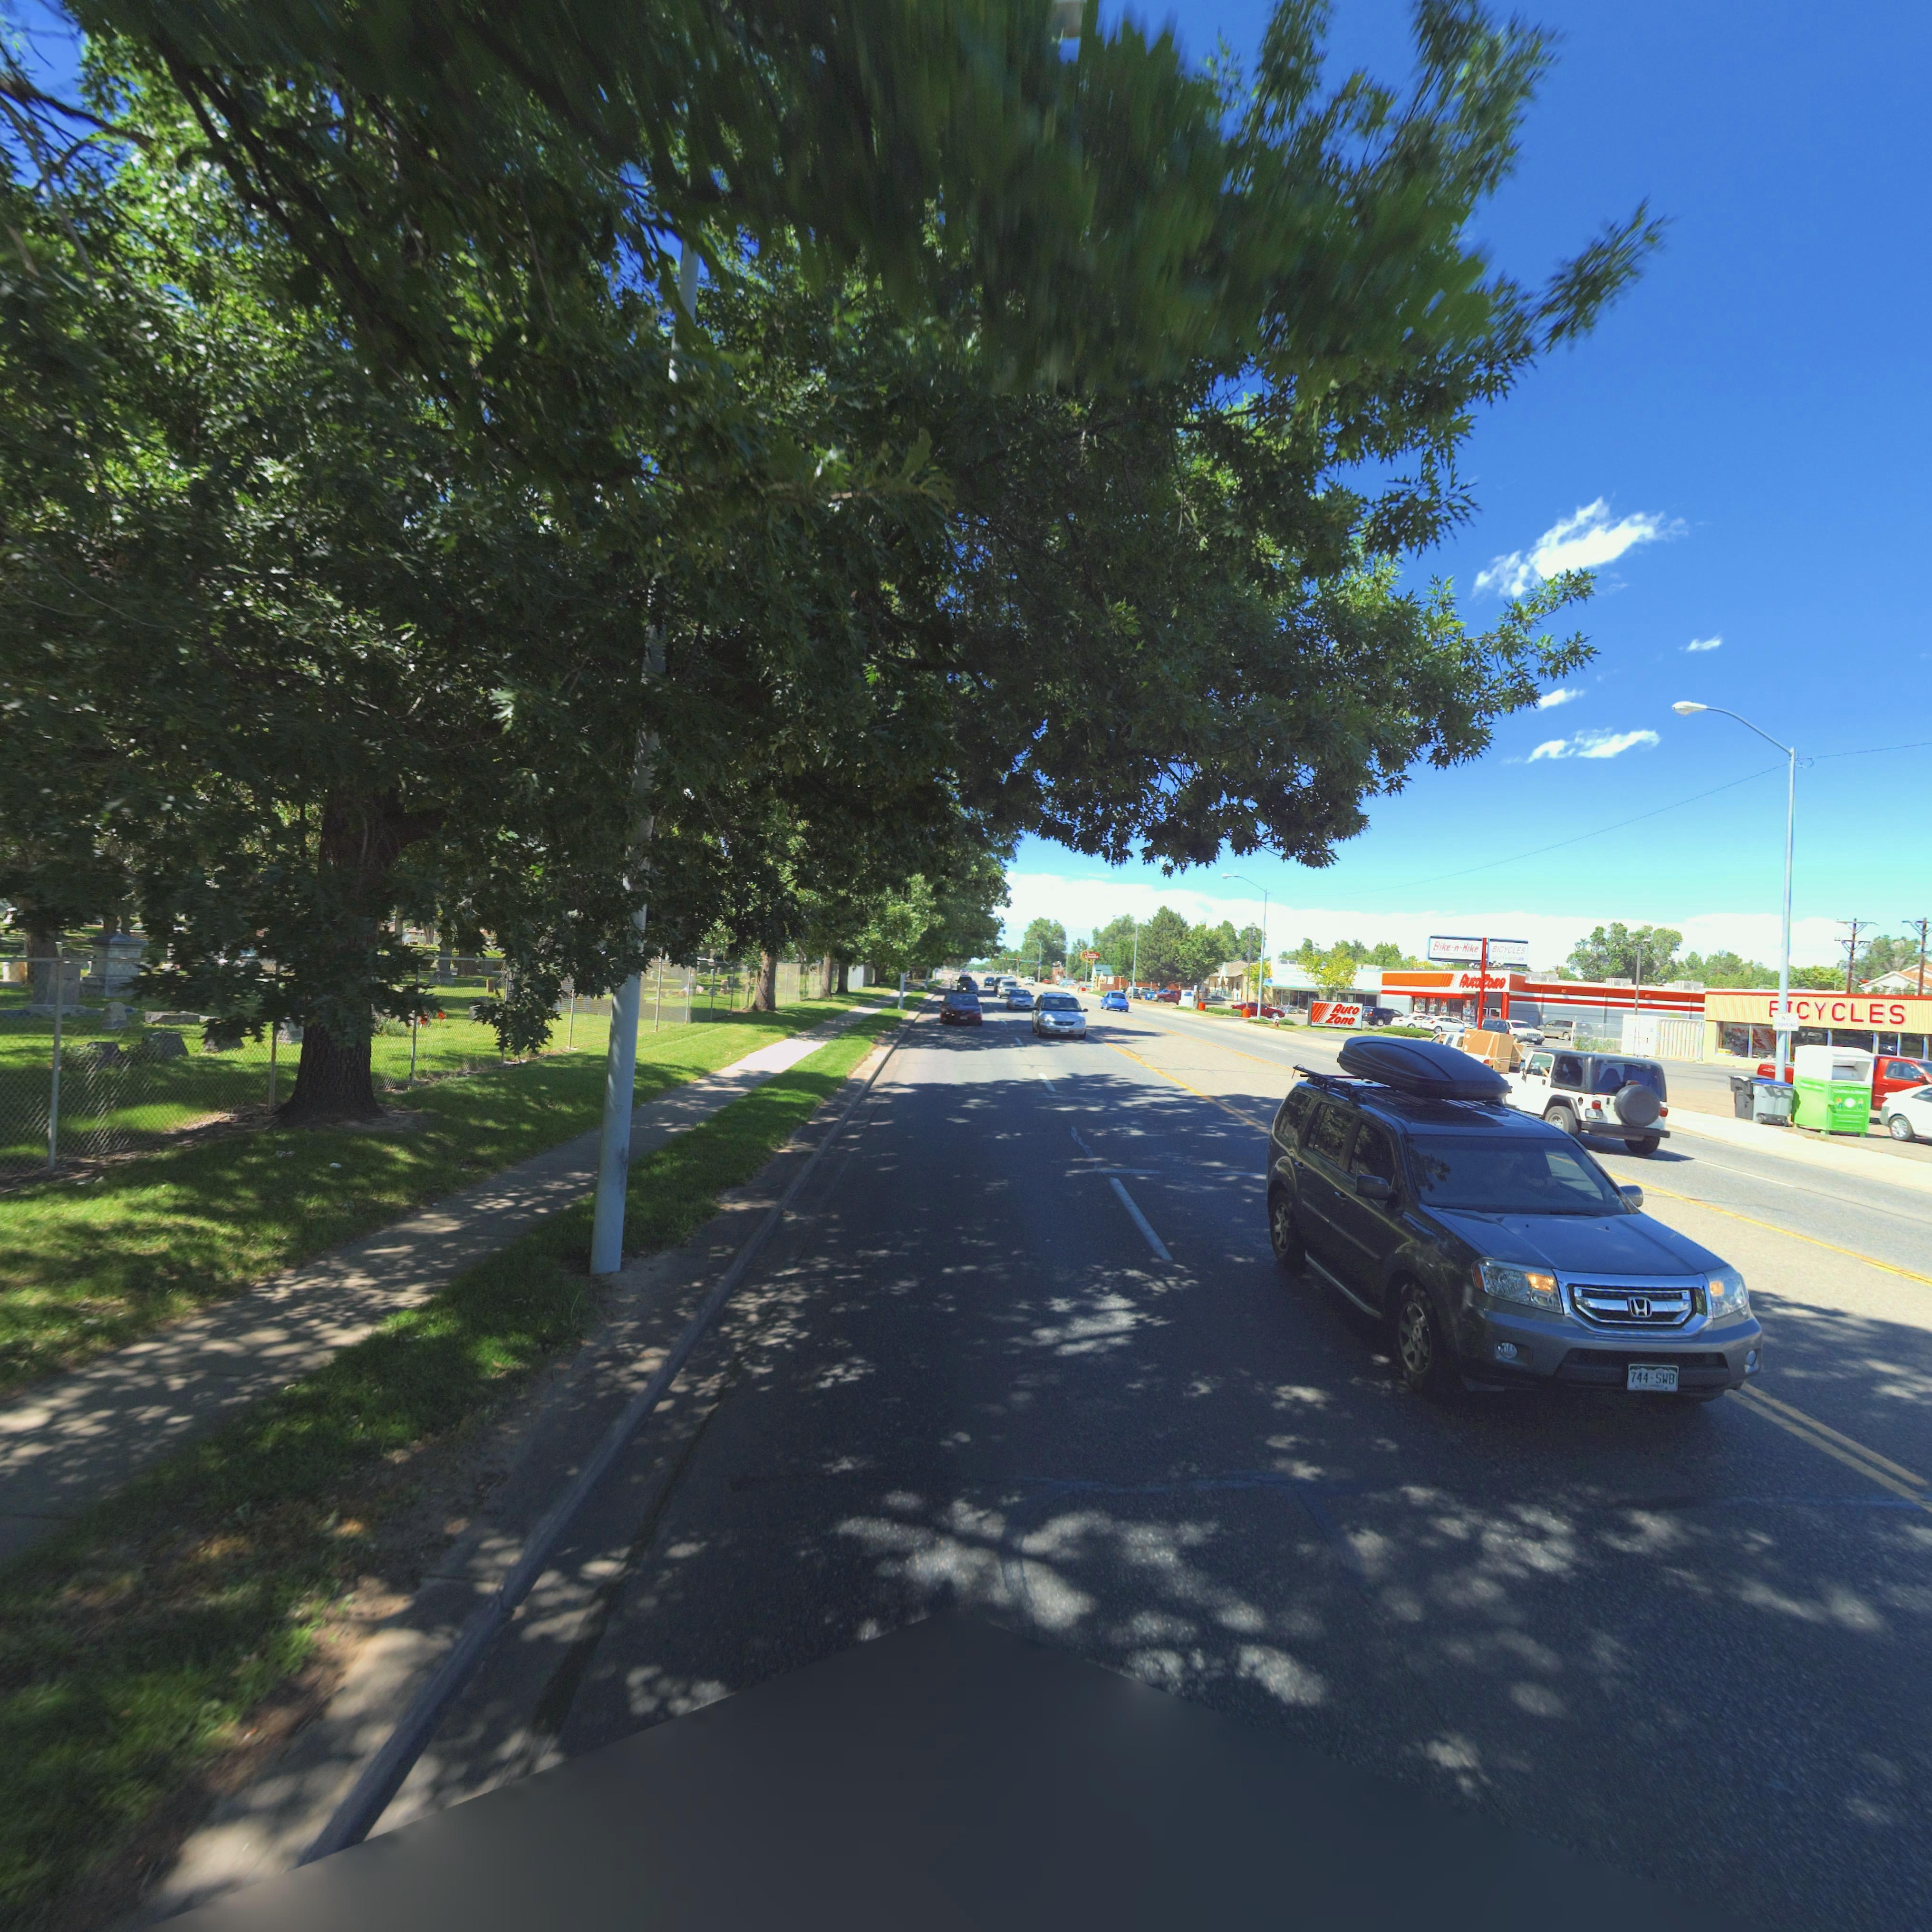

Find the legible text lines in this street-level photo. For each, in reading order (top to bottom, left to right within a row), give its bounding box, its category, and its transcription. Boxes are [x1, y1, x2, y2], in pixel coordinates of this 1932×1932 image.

[1432, 941, 1479, 953] BusinessName: Bike*n*Hike
[1084, 954, 1098, 958] BusinessName: L******
[1458, 973, 1506, 989] BusinessName: Auto*one
[1330, 1003, 1360, 1015] BusinessName: Auto
[1323, 1013, 1355, 1025] BusinessName: Zone